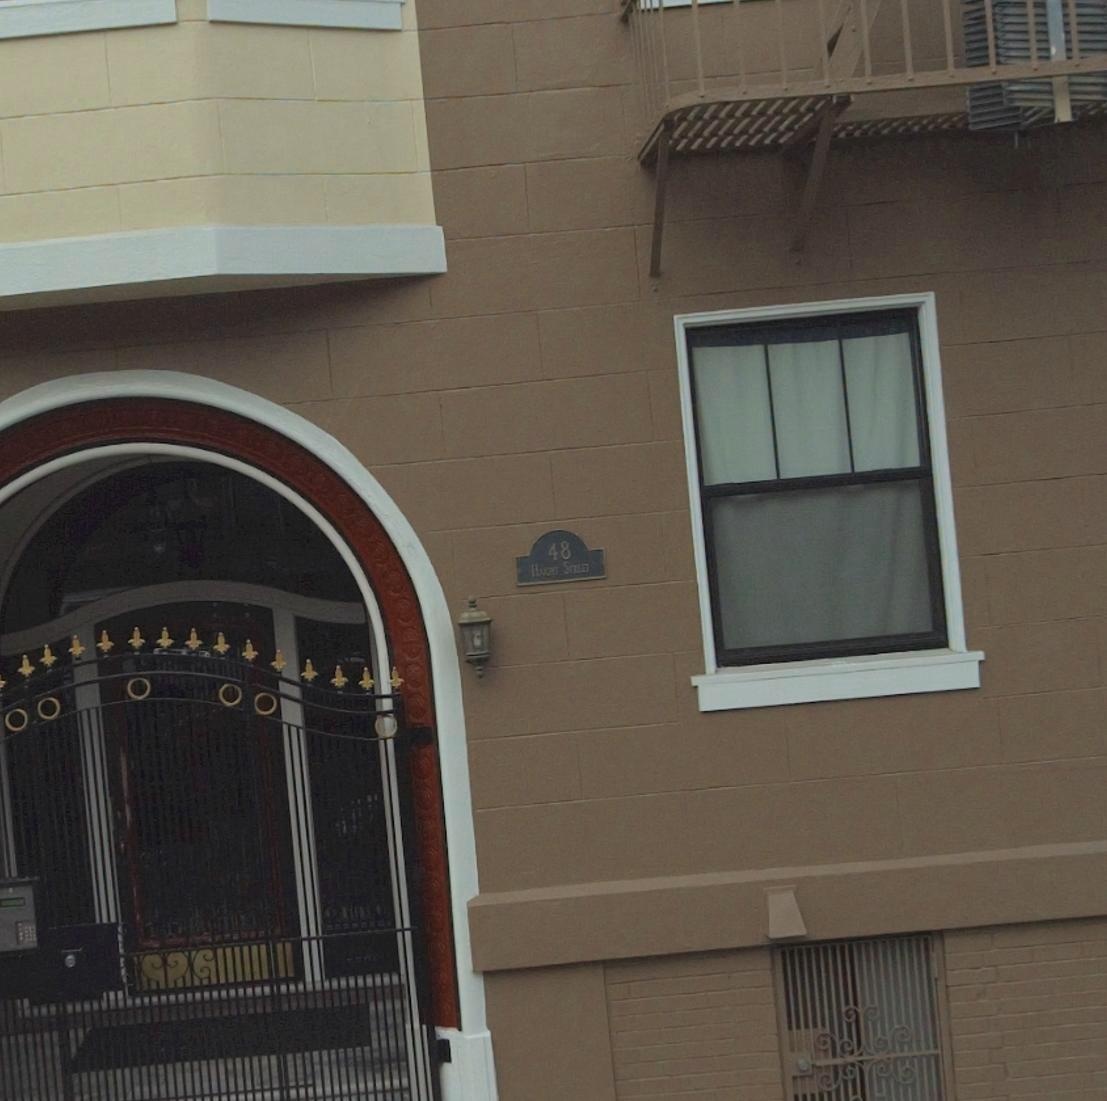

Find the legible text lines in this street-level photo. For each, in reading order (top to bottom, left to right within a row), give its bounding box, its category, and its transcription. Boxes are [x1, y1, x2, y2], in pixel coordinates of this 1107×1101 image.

[547, 538, 573, 563] StreetNumber: 48
[528, 560, 592, 581] StreetName: HAIGHT STREET